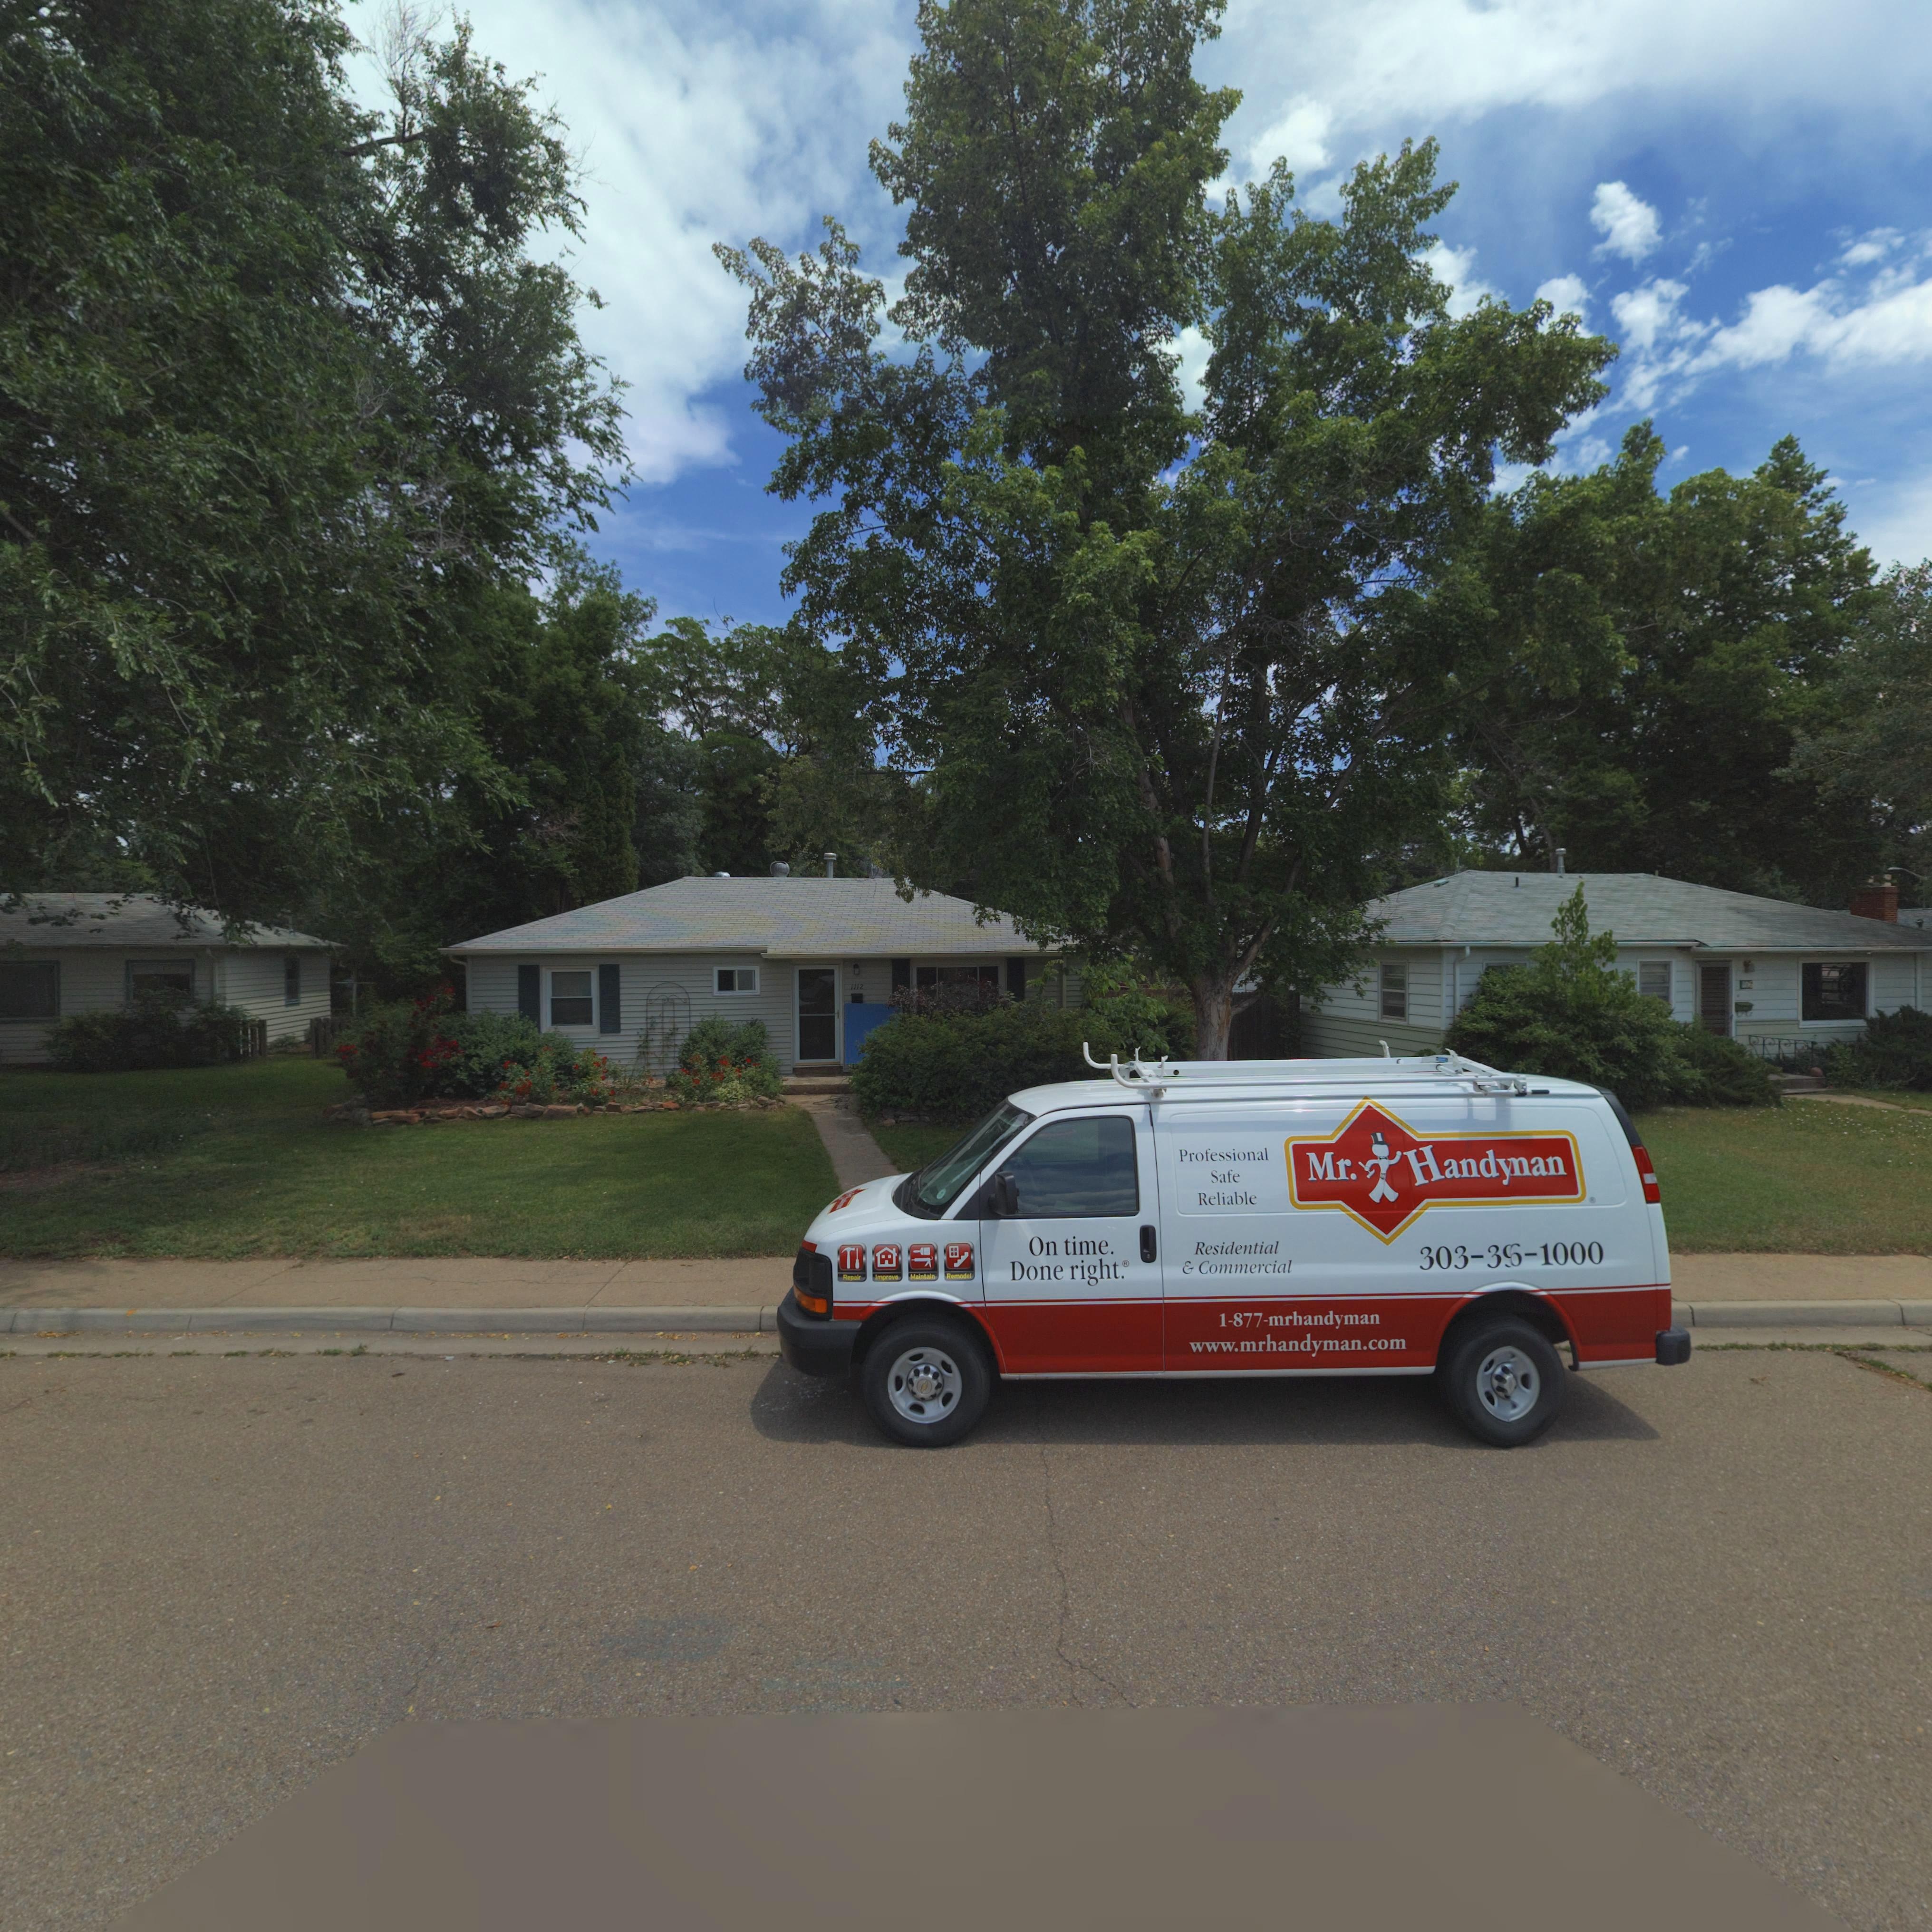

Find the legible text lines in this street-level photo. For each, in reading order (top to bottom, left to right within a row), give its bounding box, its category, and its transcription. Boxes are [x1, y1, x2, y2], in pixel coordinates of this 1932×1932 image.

[850, 983, 864, 990] StreetNumber: 1112
[1740, 980, 1754, 989] StreetNumber: 1**6